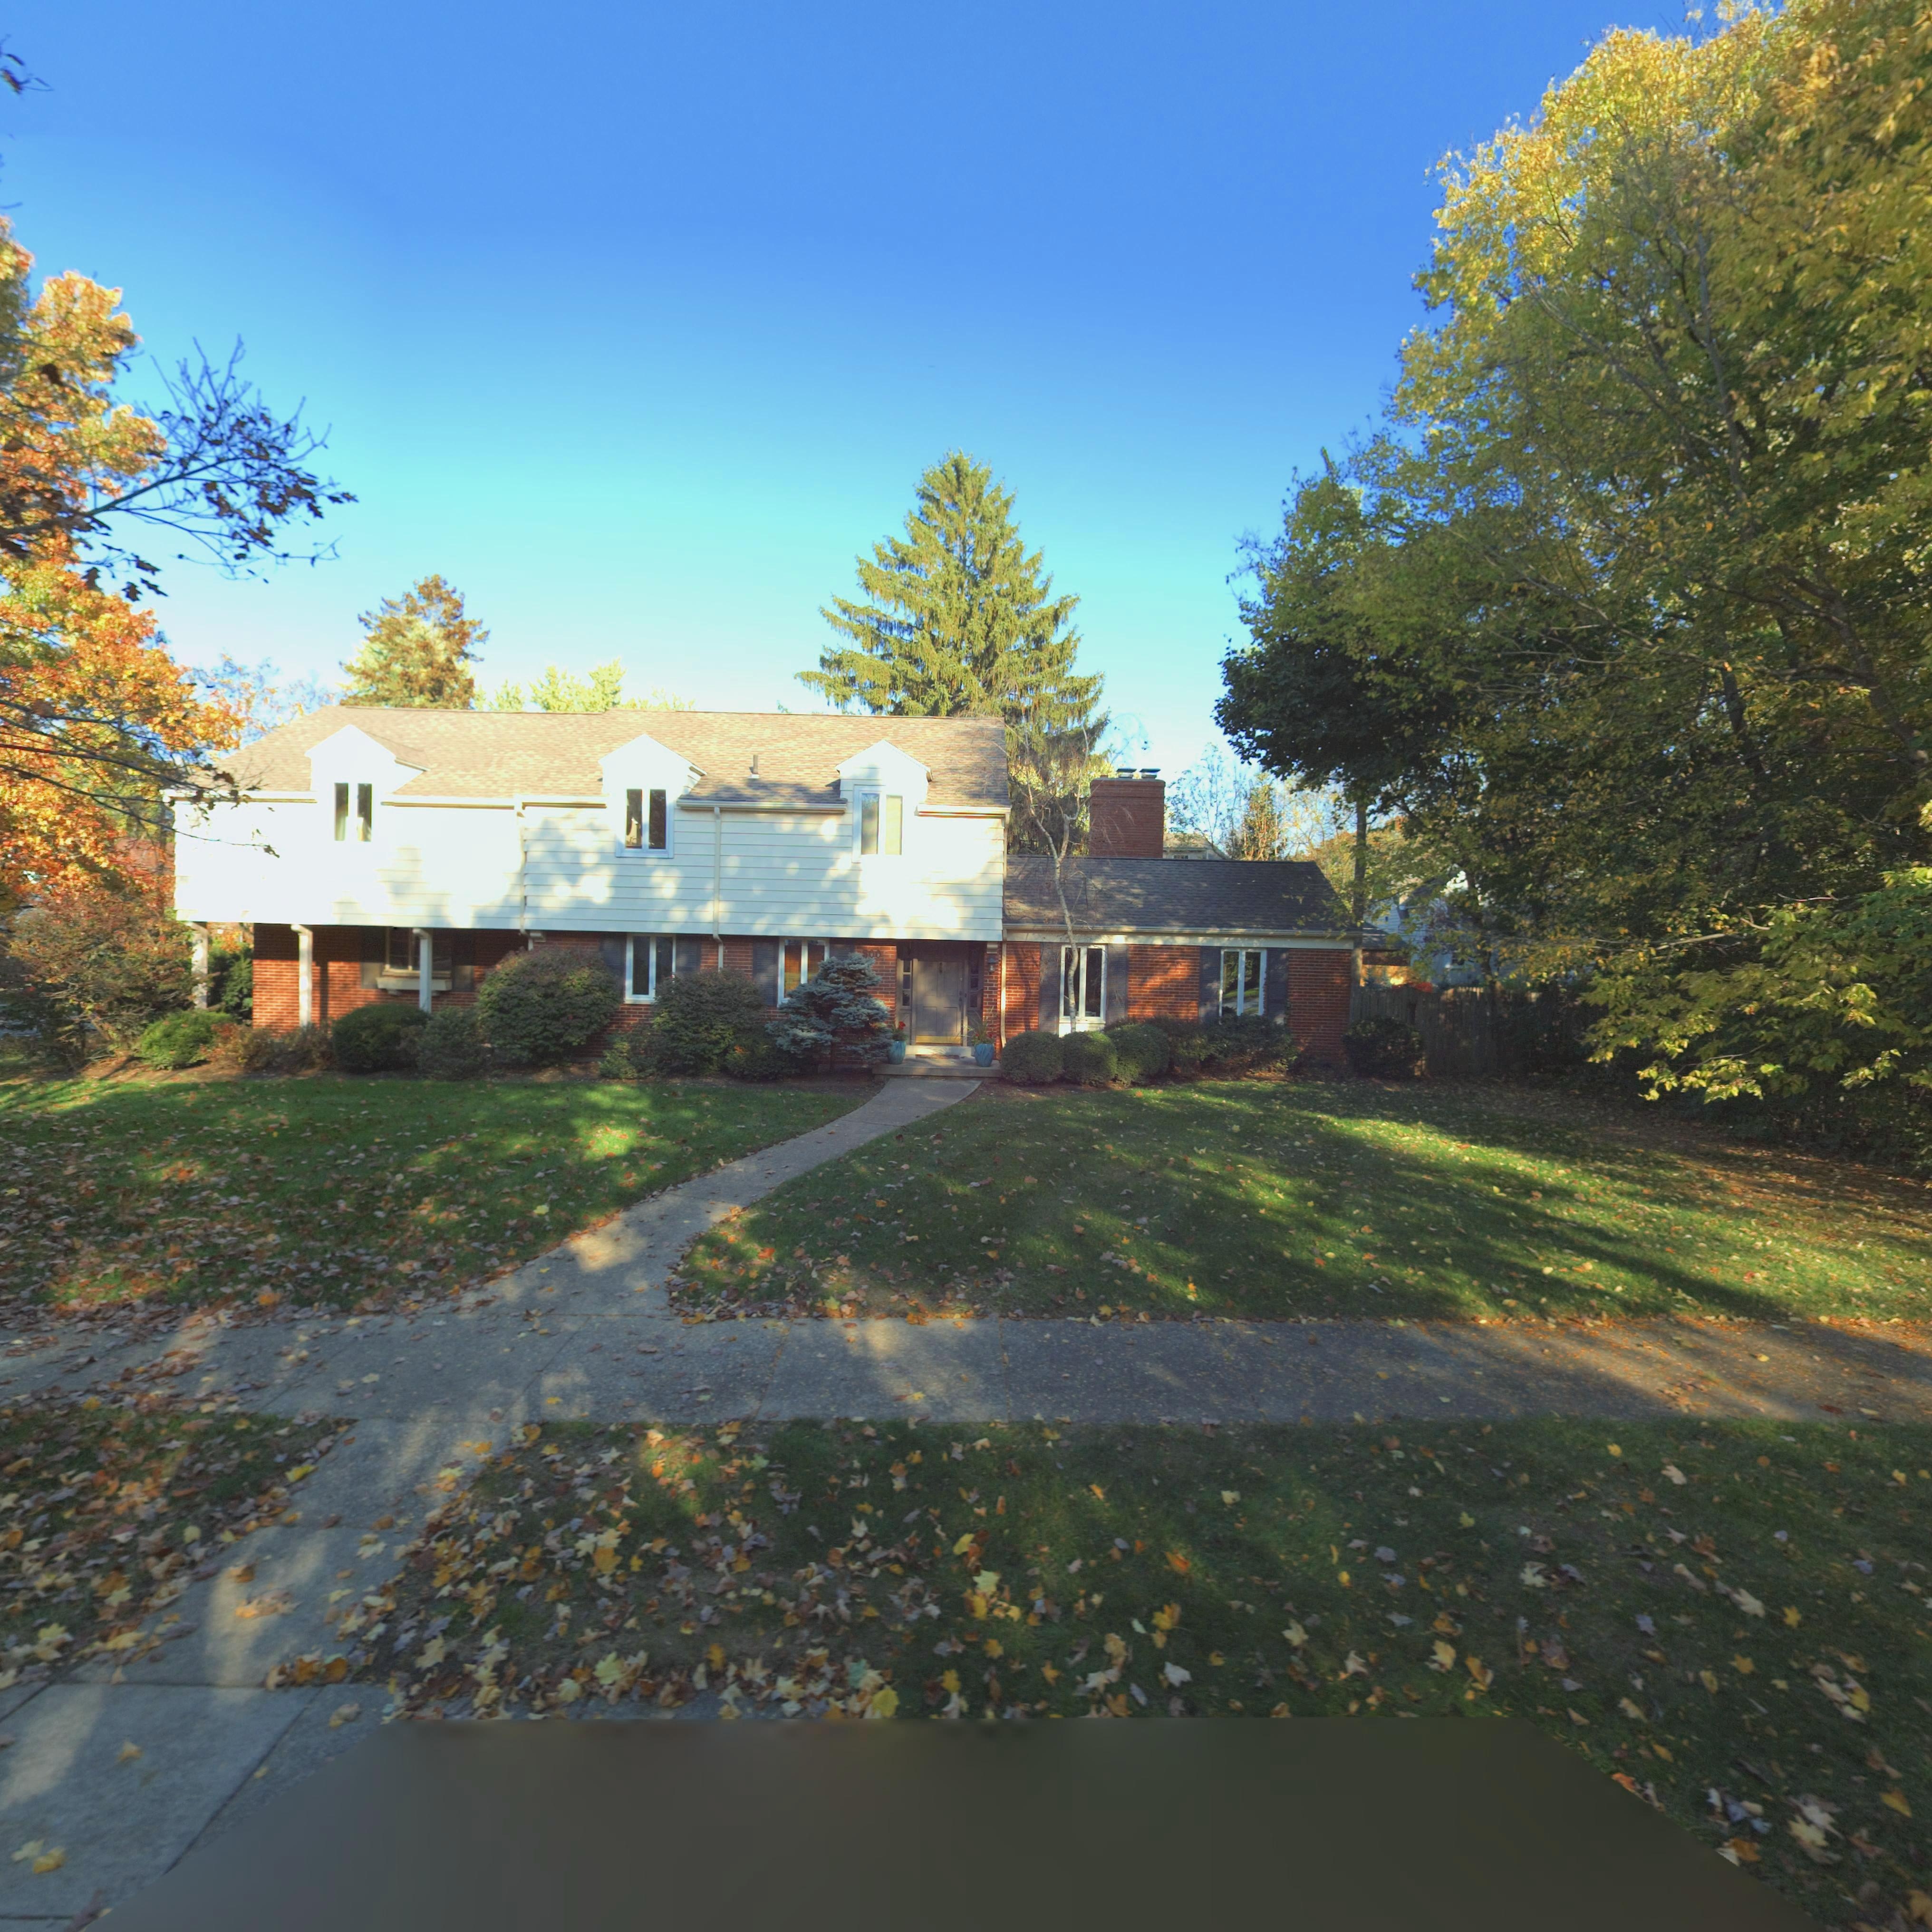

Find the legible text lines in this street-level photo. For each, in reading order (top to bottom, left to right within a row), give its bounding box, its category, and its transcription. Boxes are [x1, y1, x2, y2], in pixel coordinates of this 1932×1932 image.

[862, 949, 881, 959] StreetNumber: 500